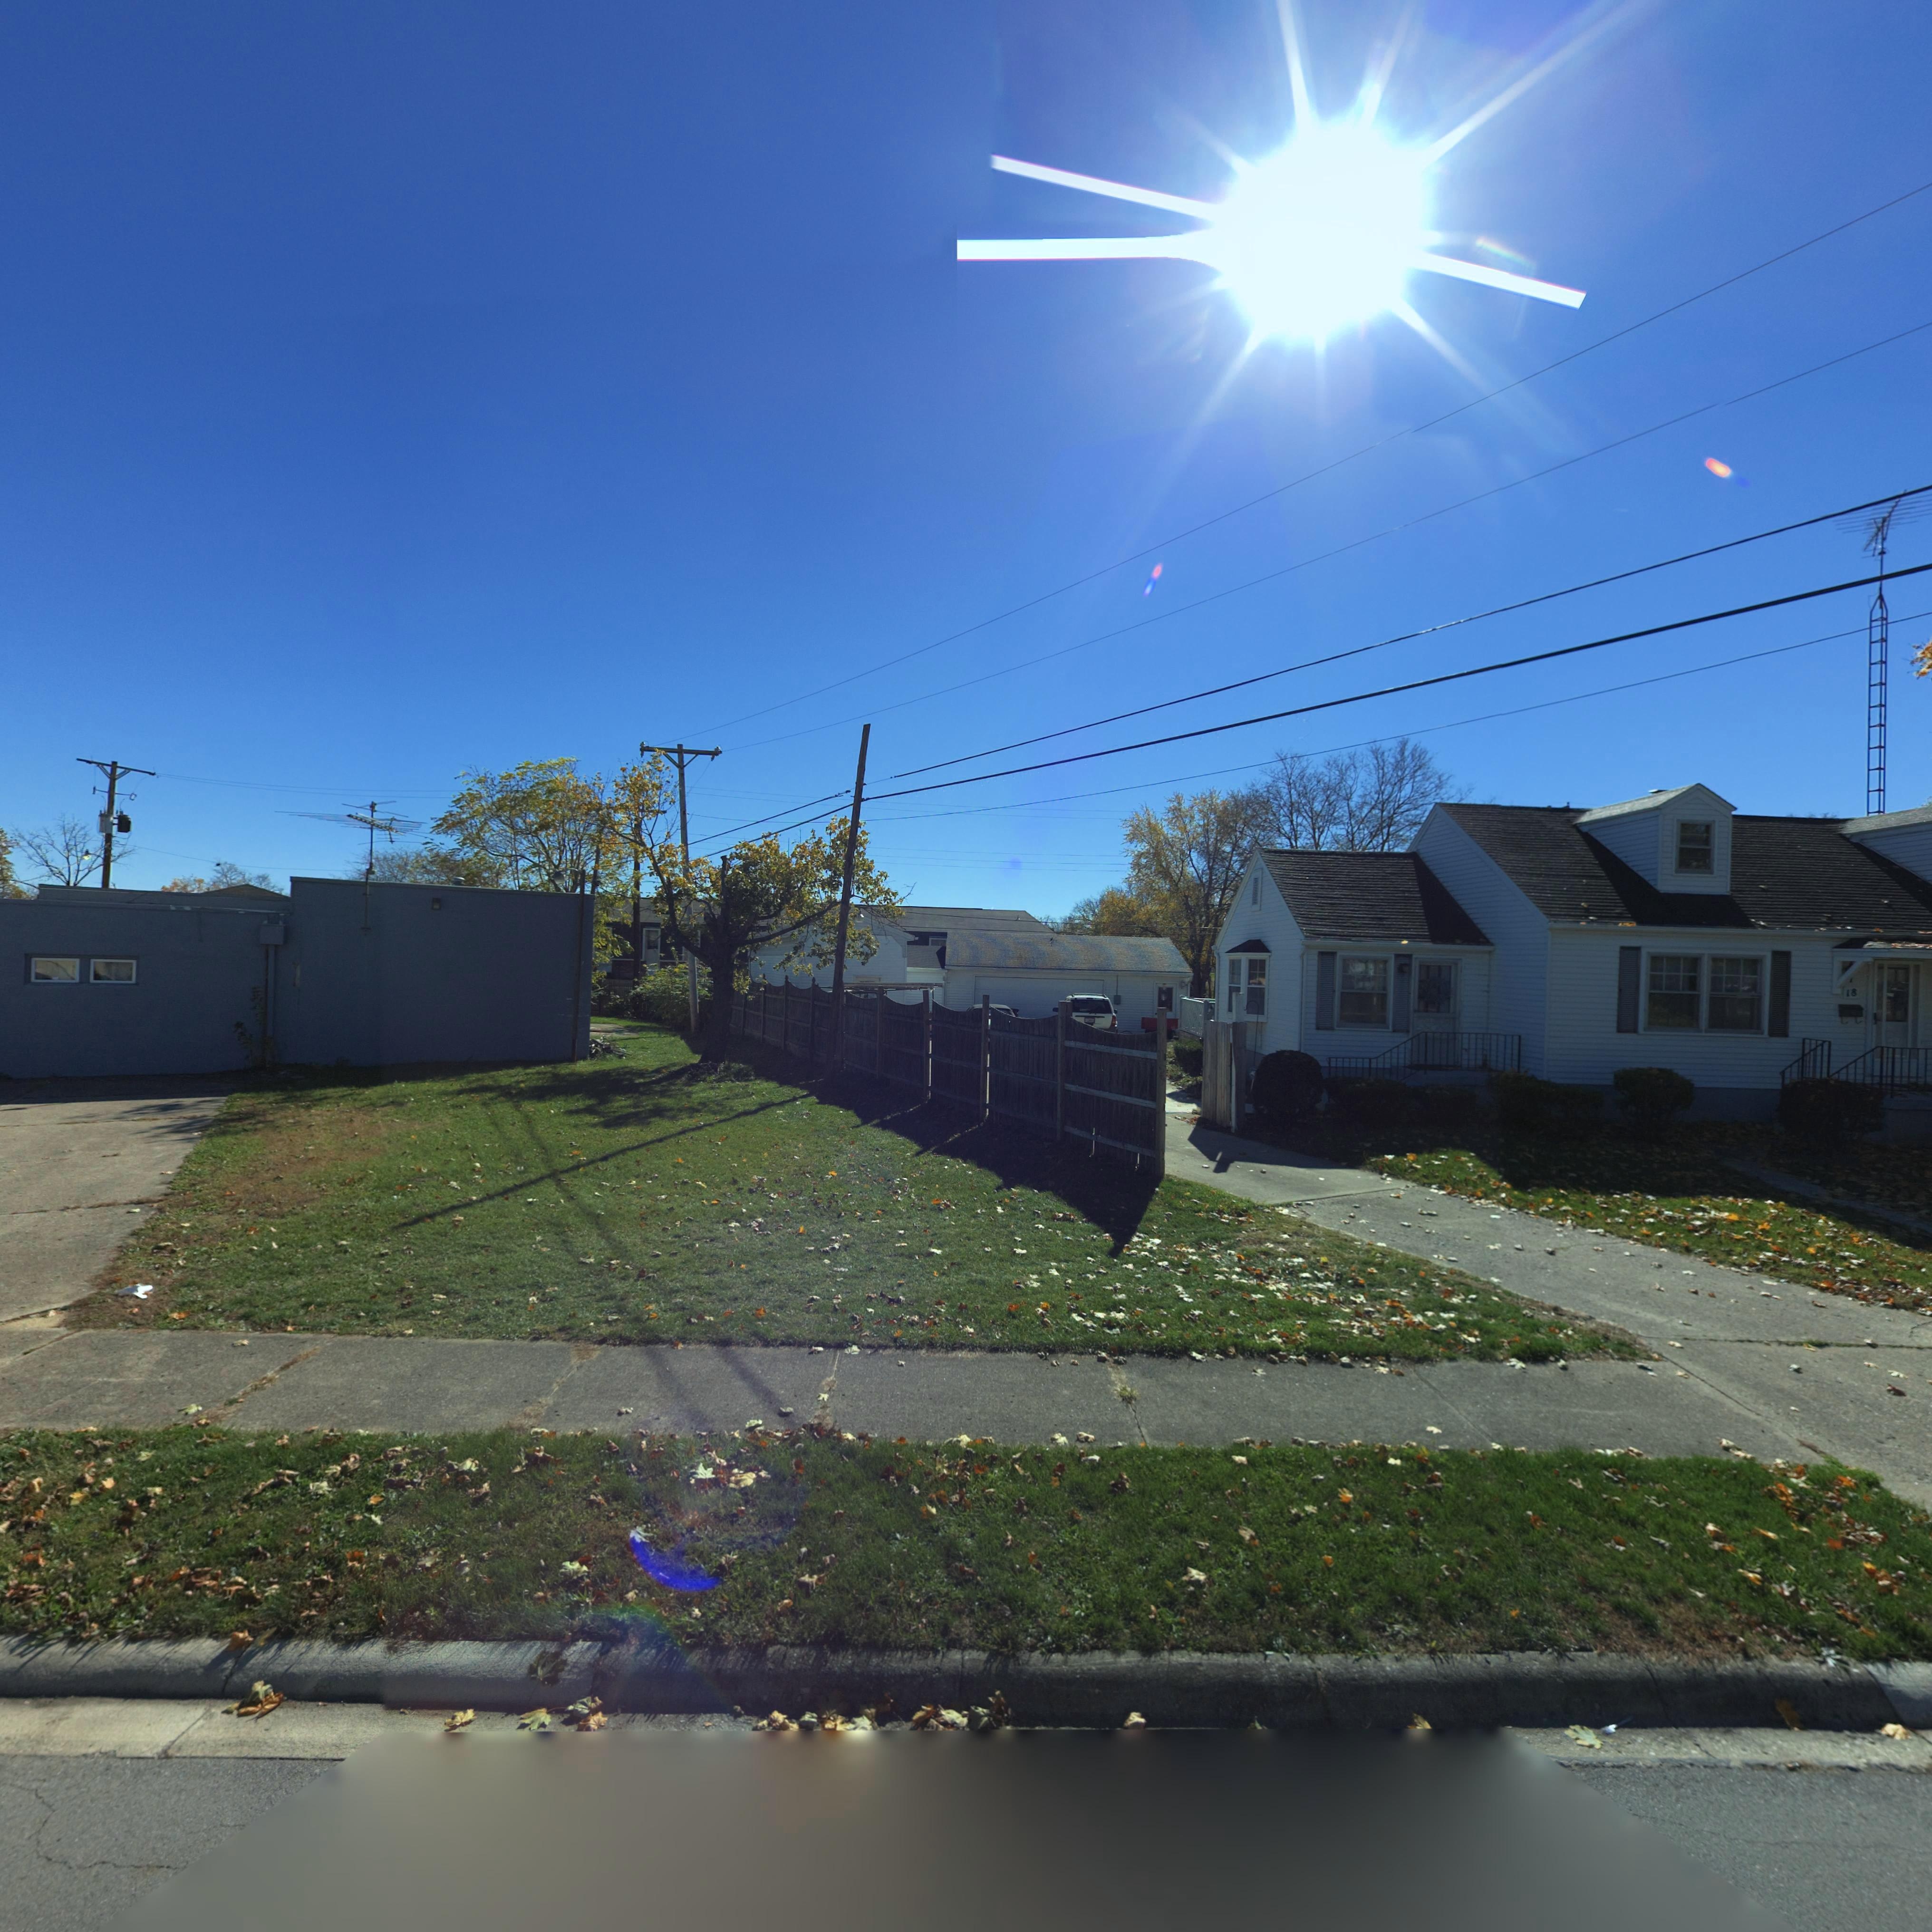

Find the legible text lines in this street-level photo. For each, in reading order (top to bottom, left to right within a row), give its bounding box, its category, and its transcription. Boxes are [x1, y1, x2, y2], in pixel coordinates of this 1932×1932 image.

[1845, 986, 1858, 999] StreetNumber: 18